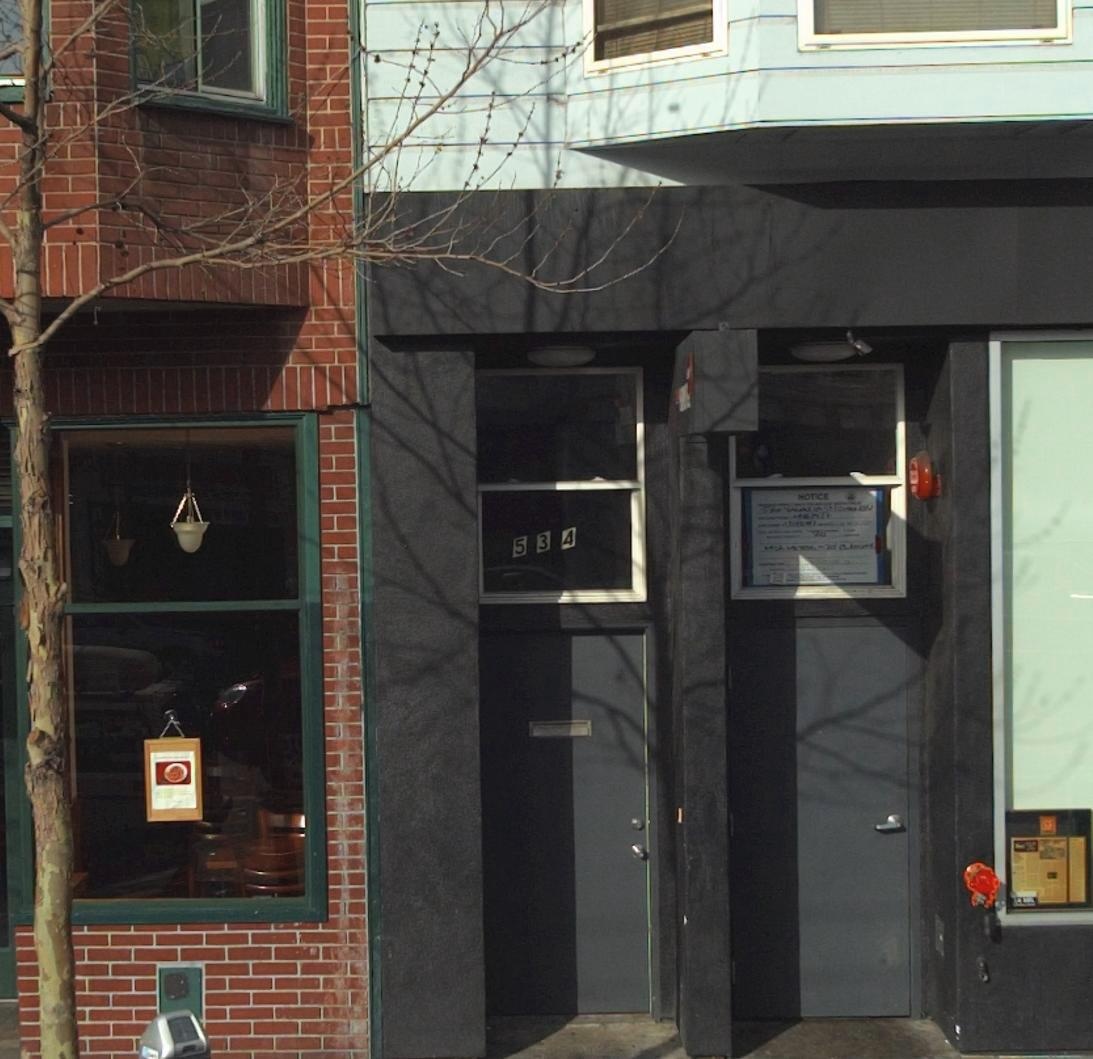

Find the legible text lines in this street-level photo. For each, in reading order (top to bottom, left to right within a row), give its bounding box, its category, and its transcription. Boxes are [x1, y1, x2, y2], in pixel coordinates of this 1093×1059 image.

[796, 491, 829, 501] None: NOTICE
[514, 527, 576, 556] StreetNumber: 534